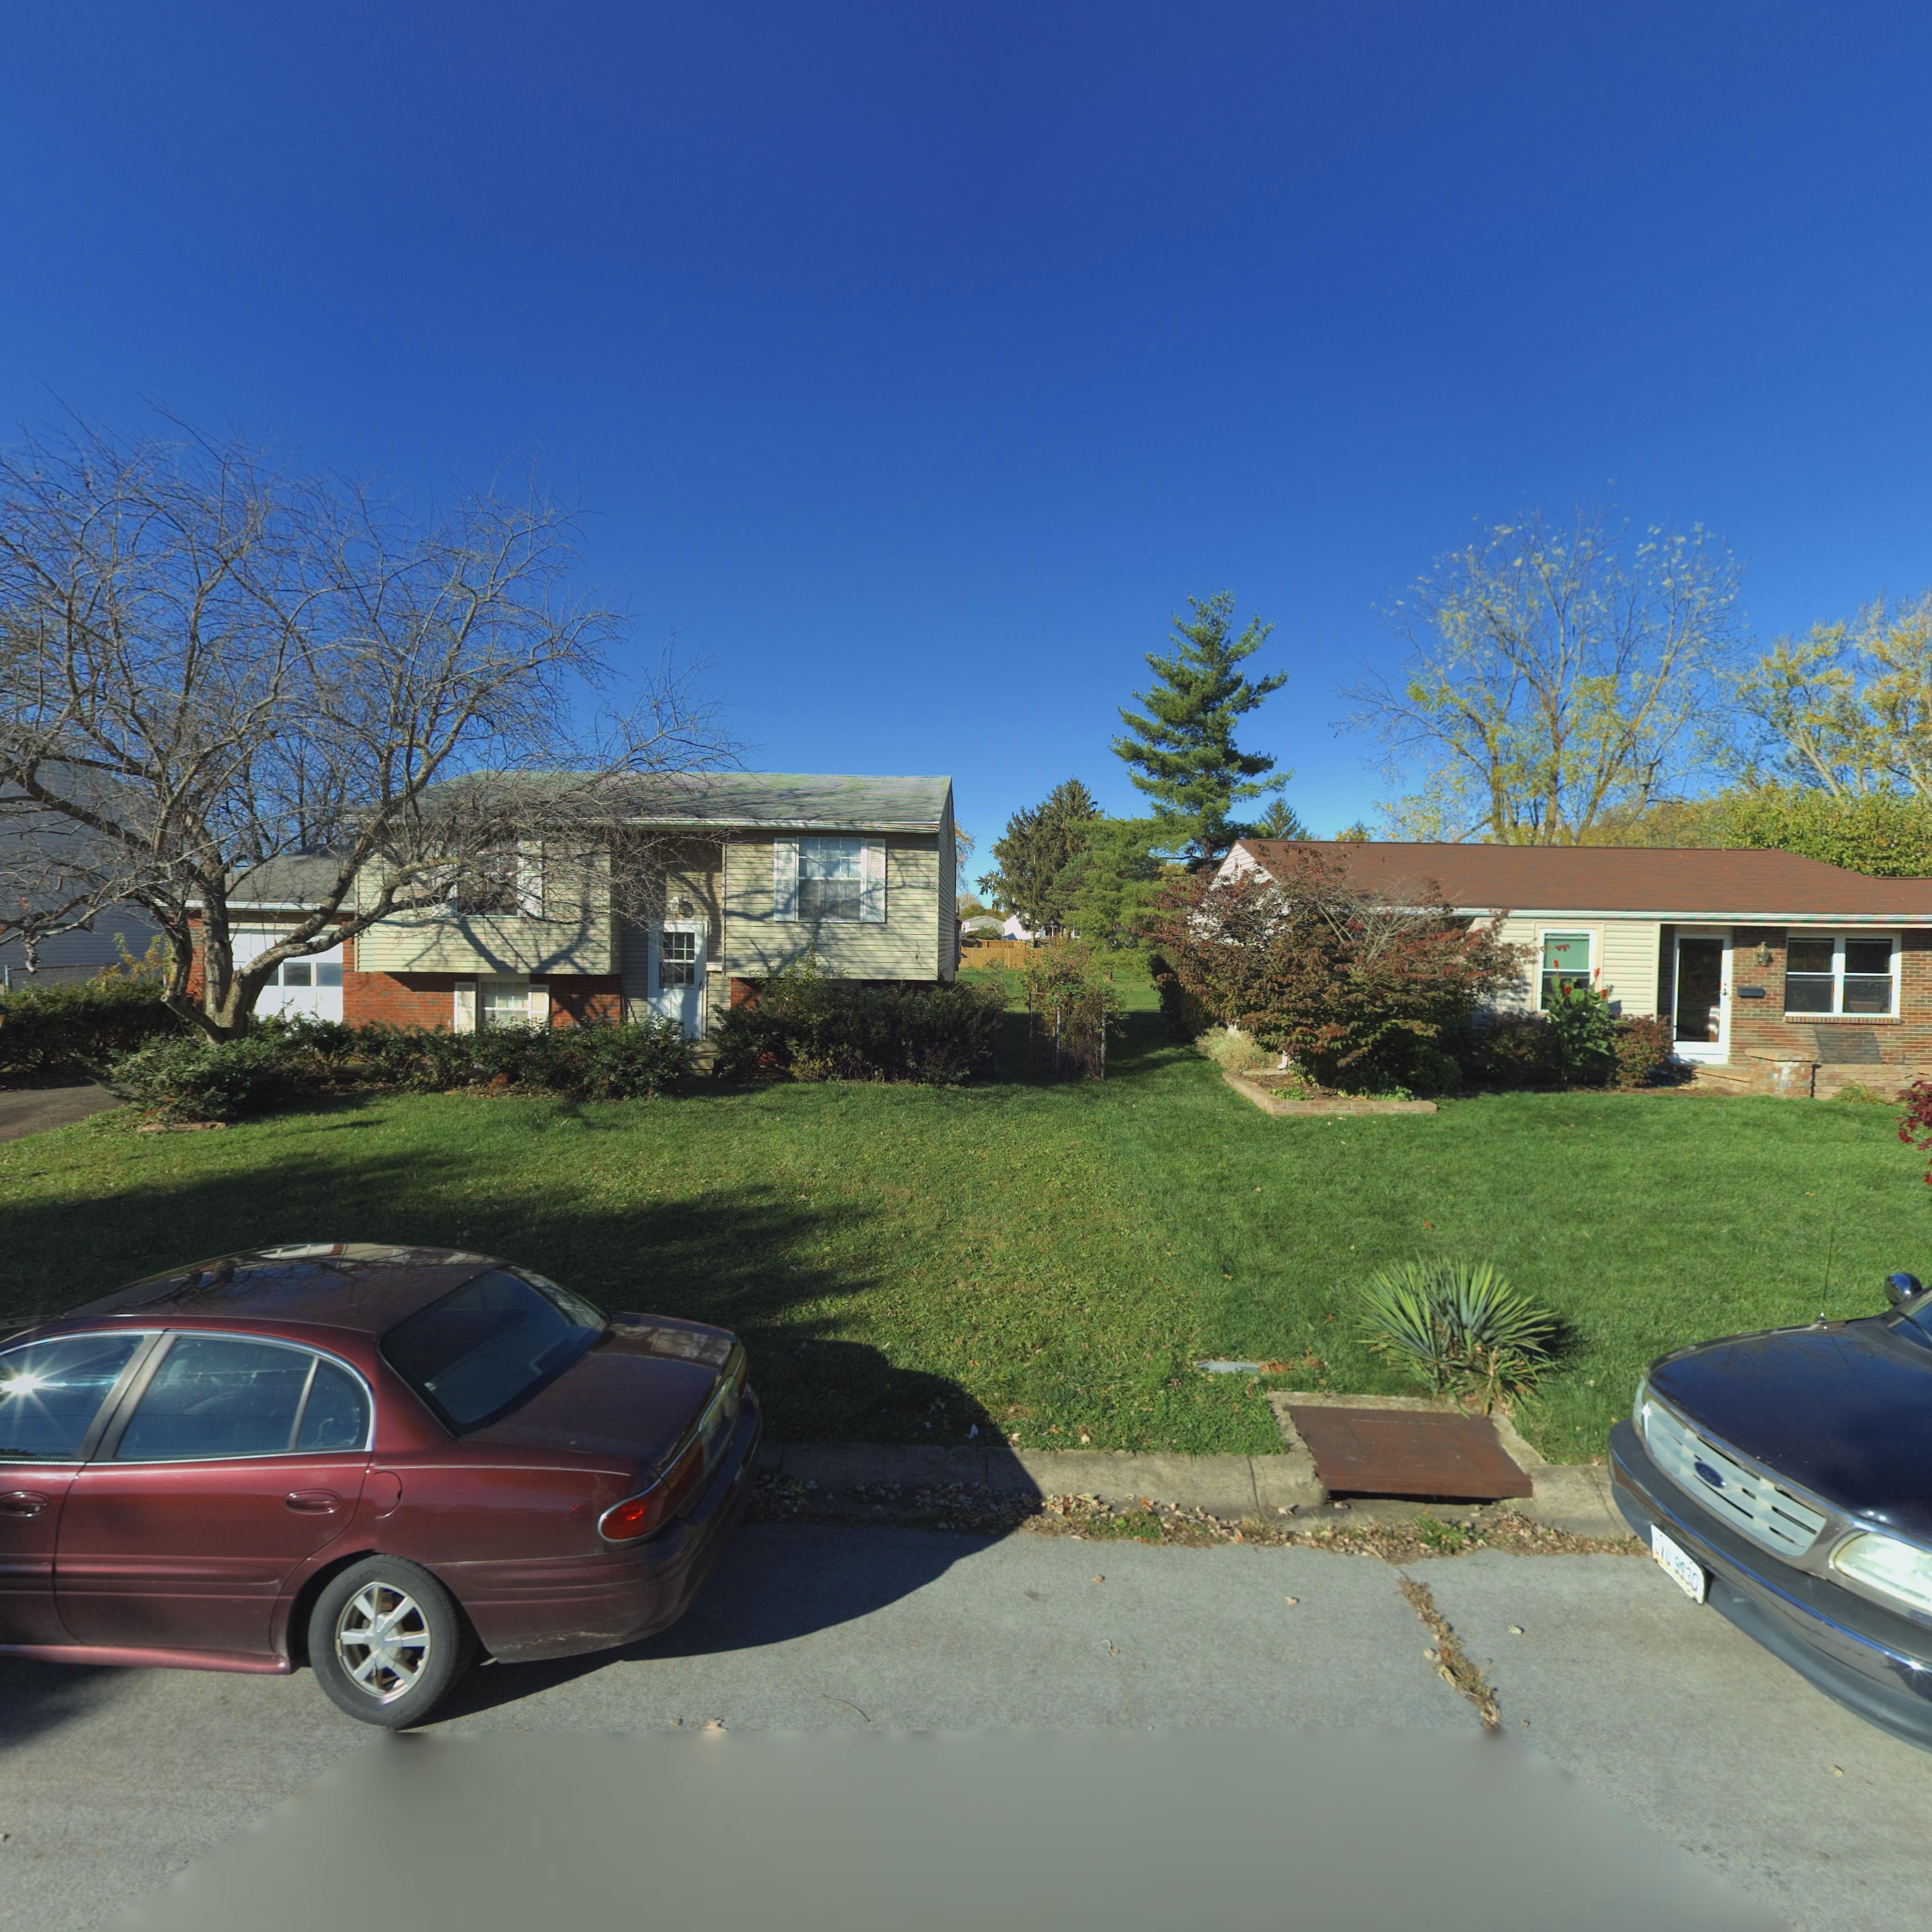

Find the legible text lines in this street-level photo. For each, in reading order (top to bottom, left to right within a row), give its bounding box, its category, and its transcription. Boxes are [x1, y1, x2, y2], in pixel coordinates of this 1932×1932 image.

[1693, 925, 1710, 932] StreetNumber: 6*8